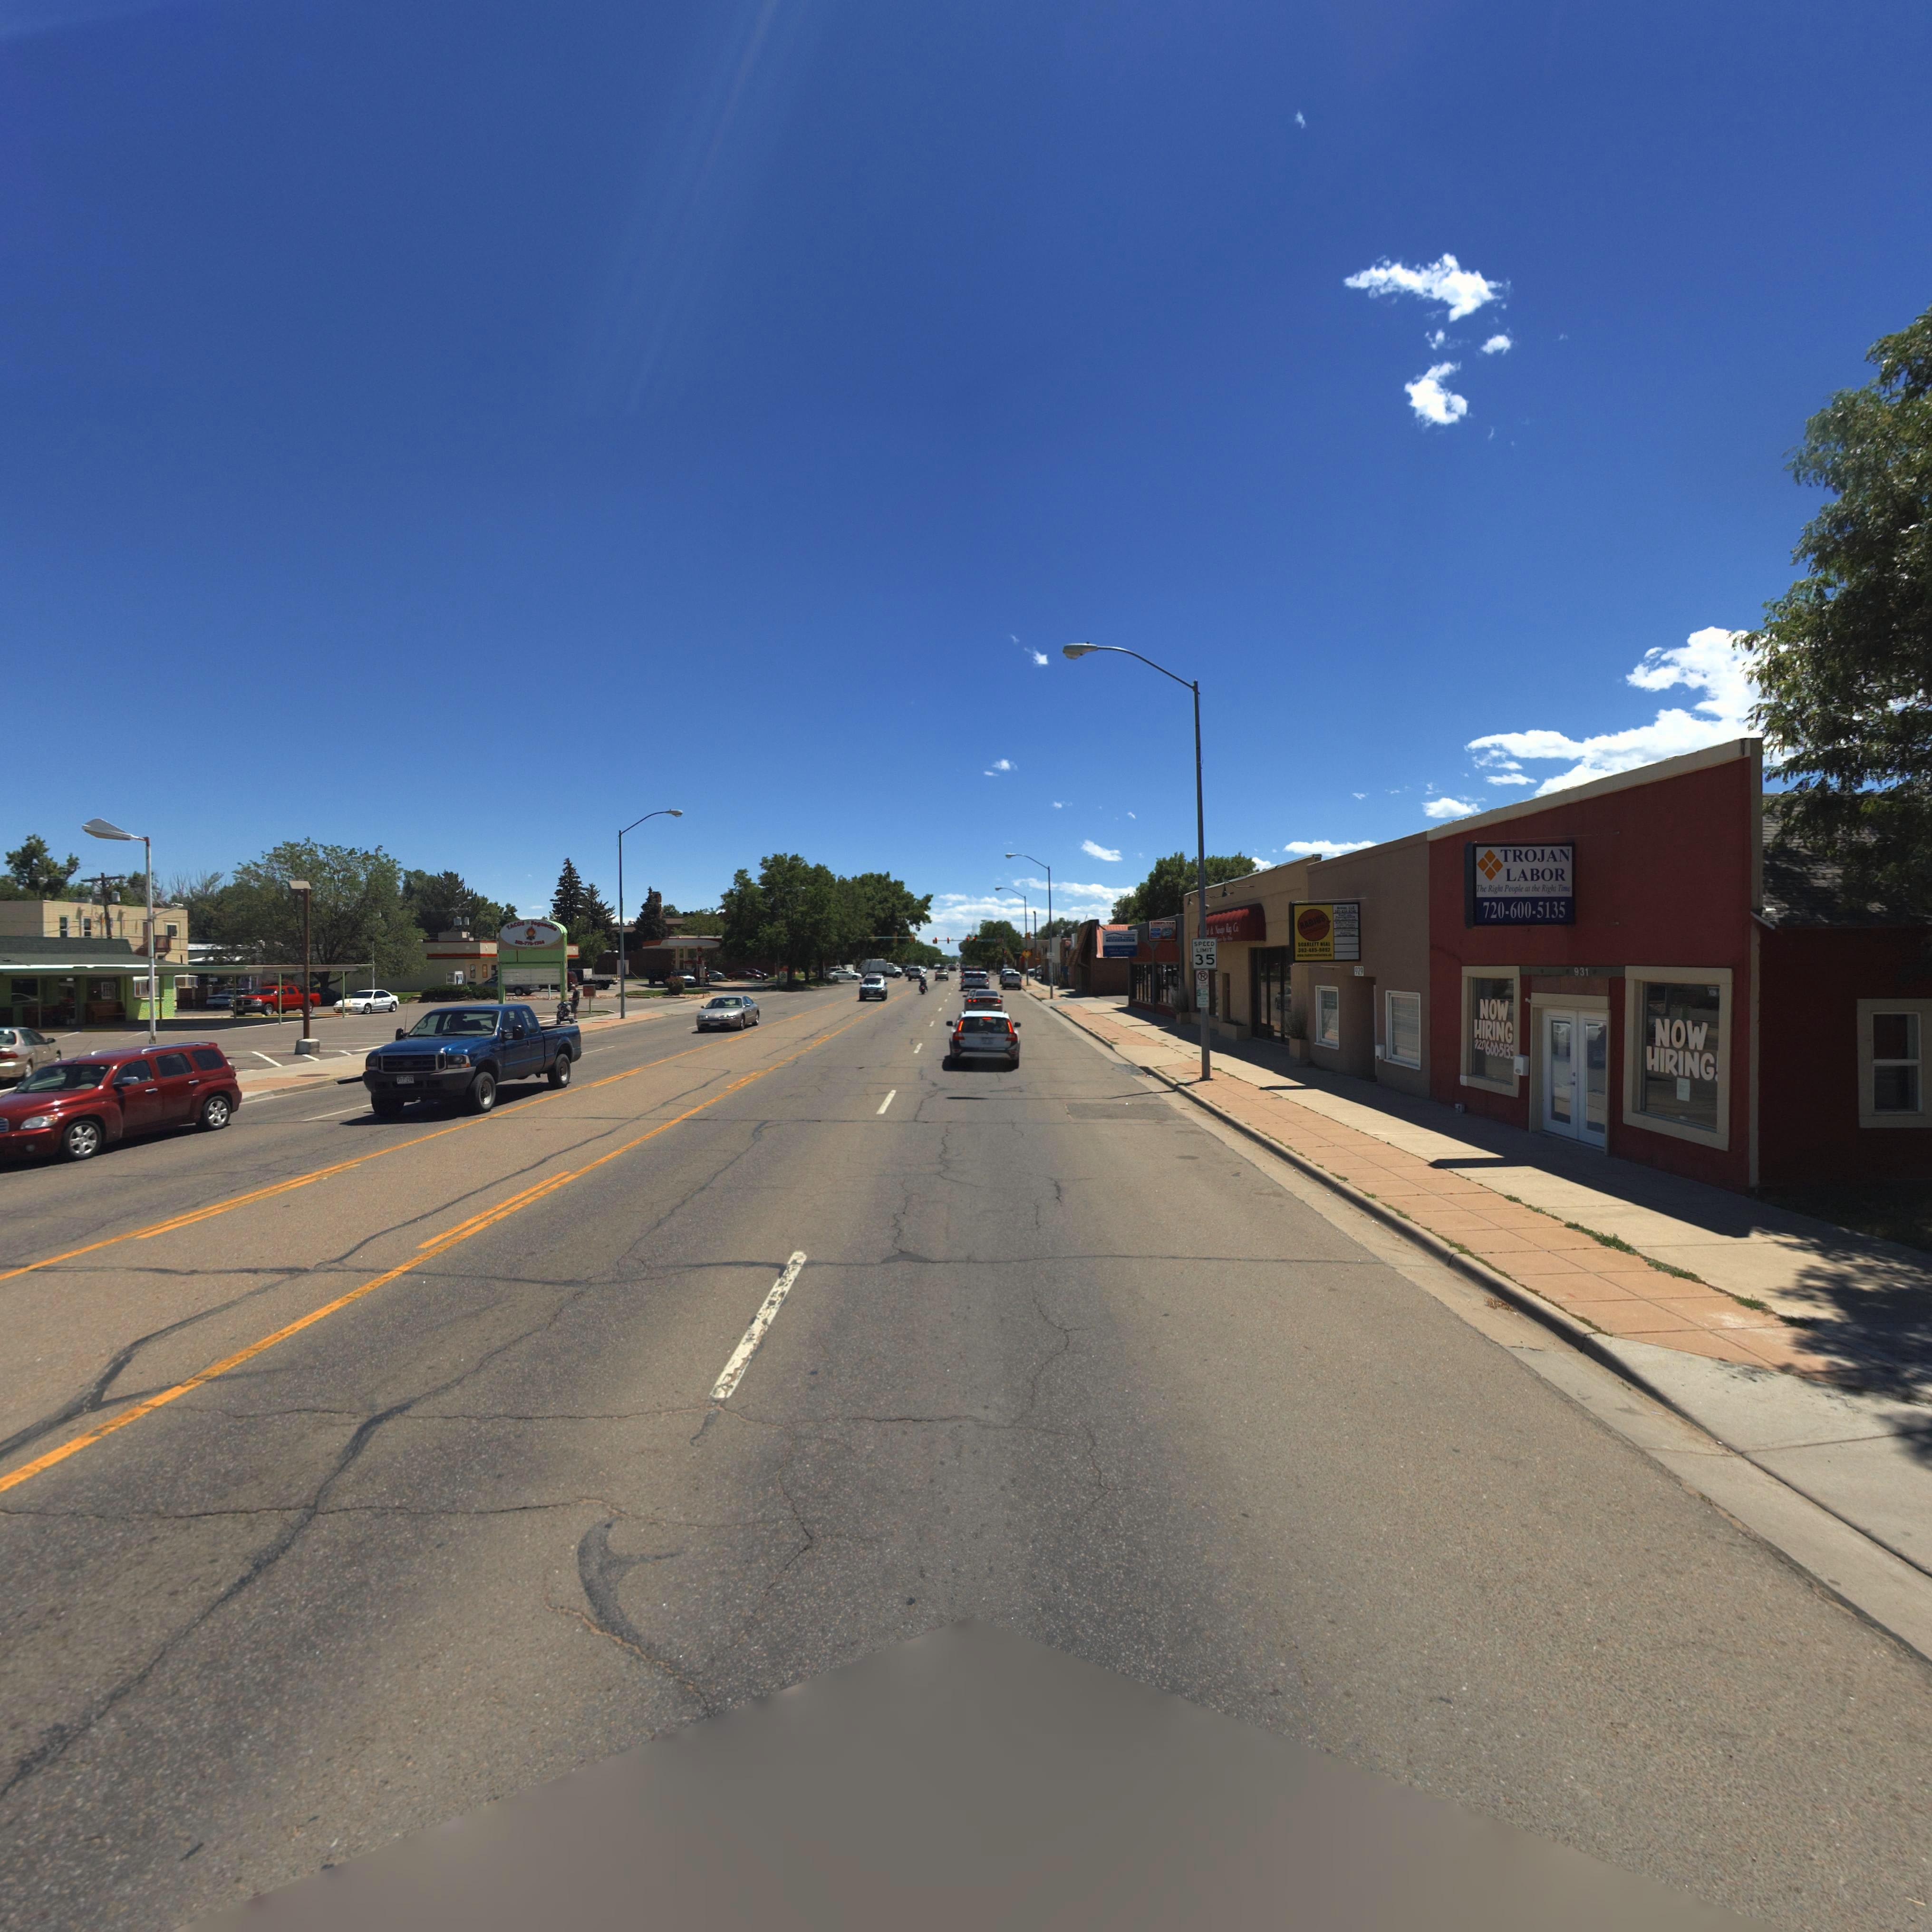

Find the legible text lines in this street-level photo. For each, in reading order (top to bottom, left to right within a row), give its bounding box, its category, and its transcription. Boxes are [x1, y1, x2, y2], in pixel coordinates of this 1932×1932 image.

[1499, 849, 1570, 862] BusinessName: TROJAN
[1506, 868, 1566, 881] BusinessName: LABOR
[1337, 906, 1355, 909] BusinessName: Armor, LLC
[505, 920, 557, 931] BusinessName: TACOS * Fogoncito
[1206, 922, 1239, 935] BusinessName: *l & Navajo Rug Co,
[1299, 914, 1325, 929] BusinessName: RADIUS
[1105, 936, 1134, 939] BusinessName: AMERICAN FAMILY
[1107, 939, 1133, 941] BusinessName: INSURANCE
[1354, 966, 1363, 975] StreetNumber: 929
[1574, 966, 1588, 976] StreetNumber: 931